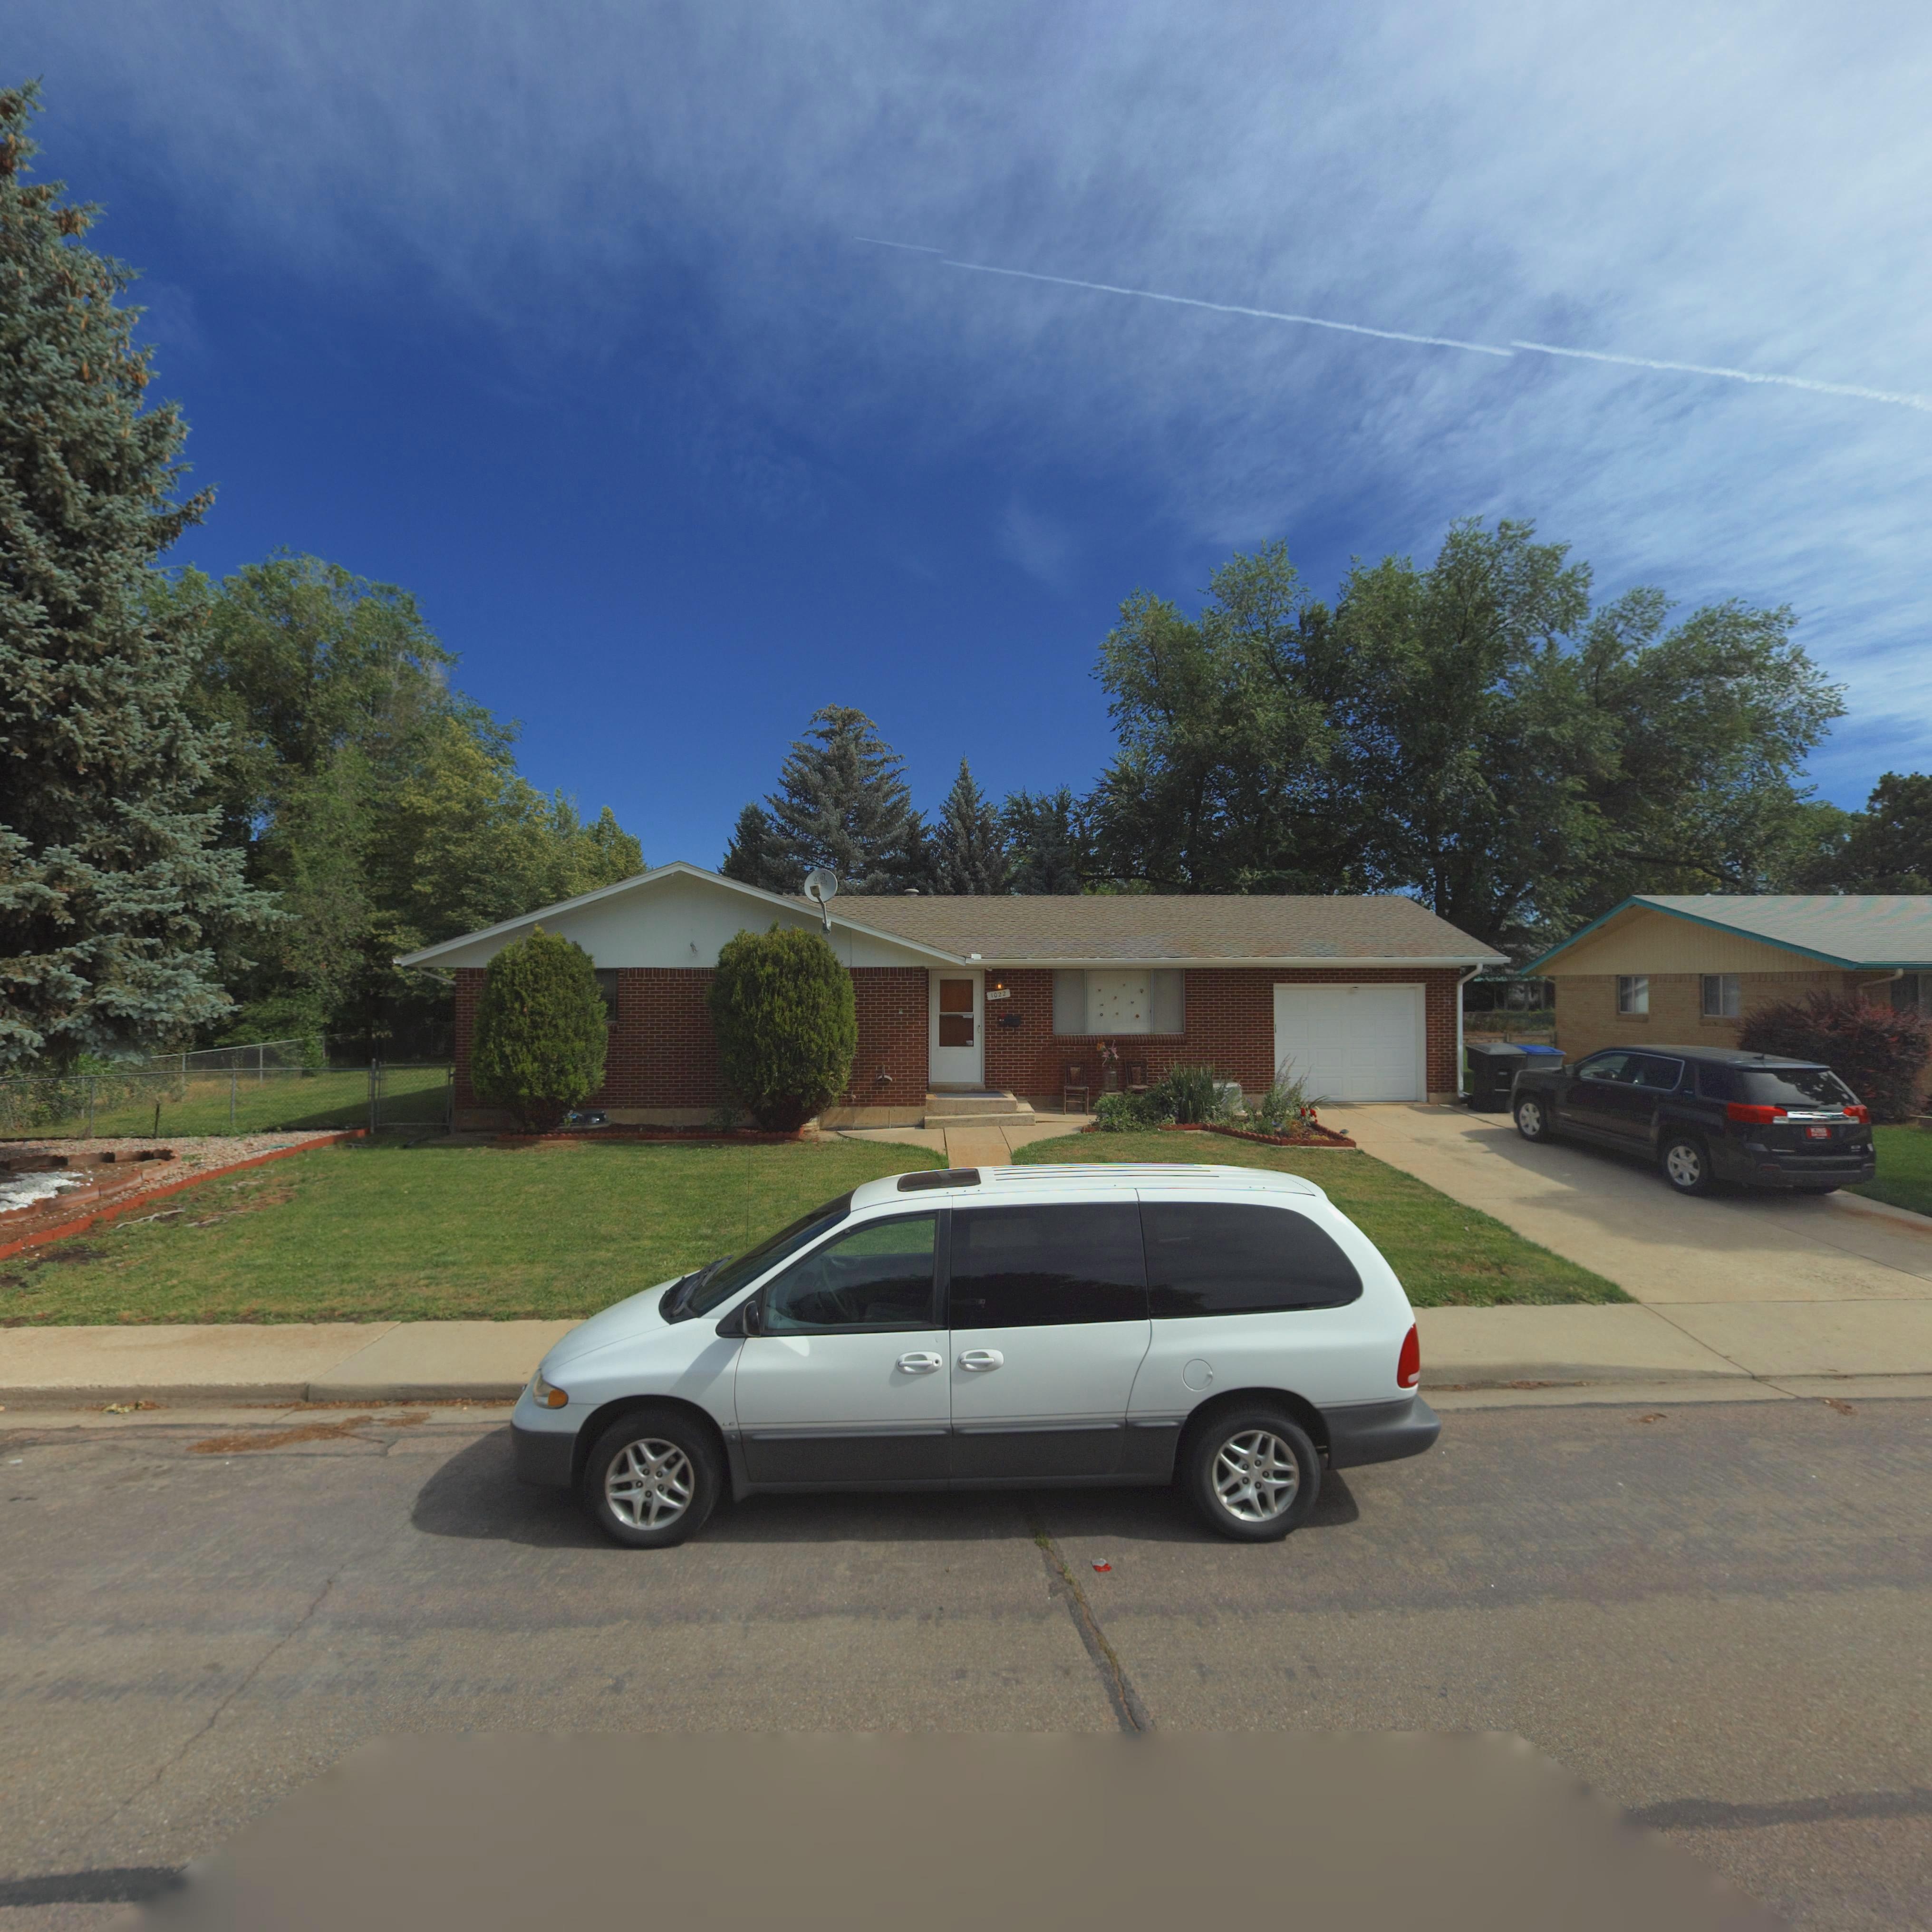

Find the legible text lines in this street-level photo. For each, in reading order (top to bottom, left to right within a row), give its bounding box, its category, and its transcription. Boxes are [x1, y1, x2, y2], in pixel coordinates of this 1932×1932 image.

[990, 991, 1006, 998] StreetNumber: 1022